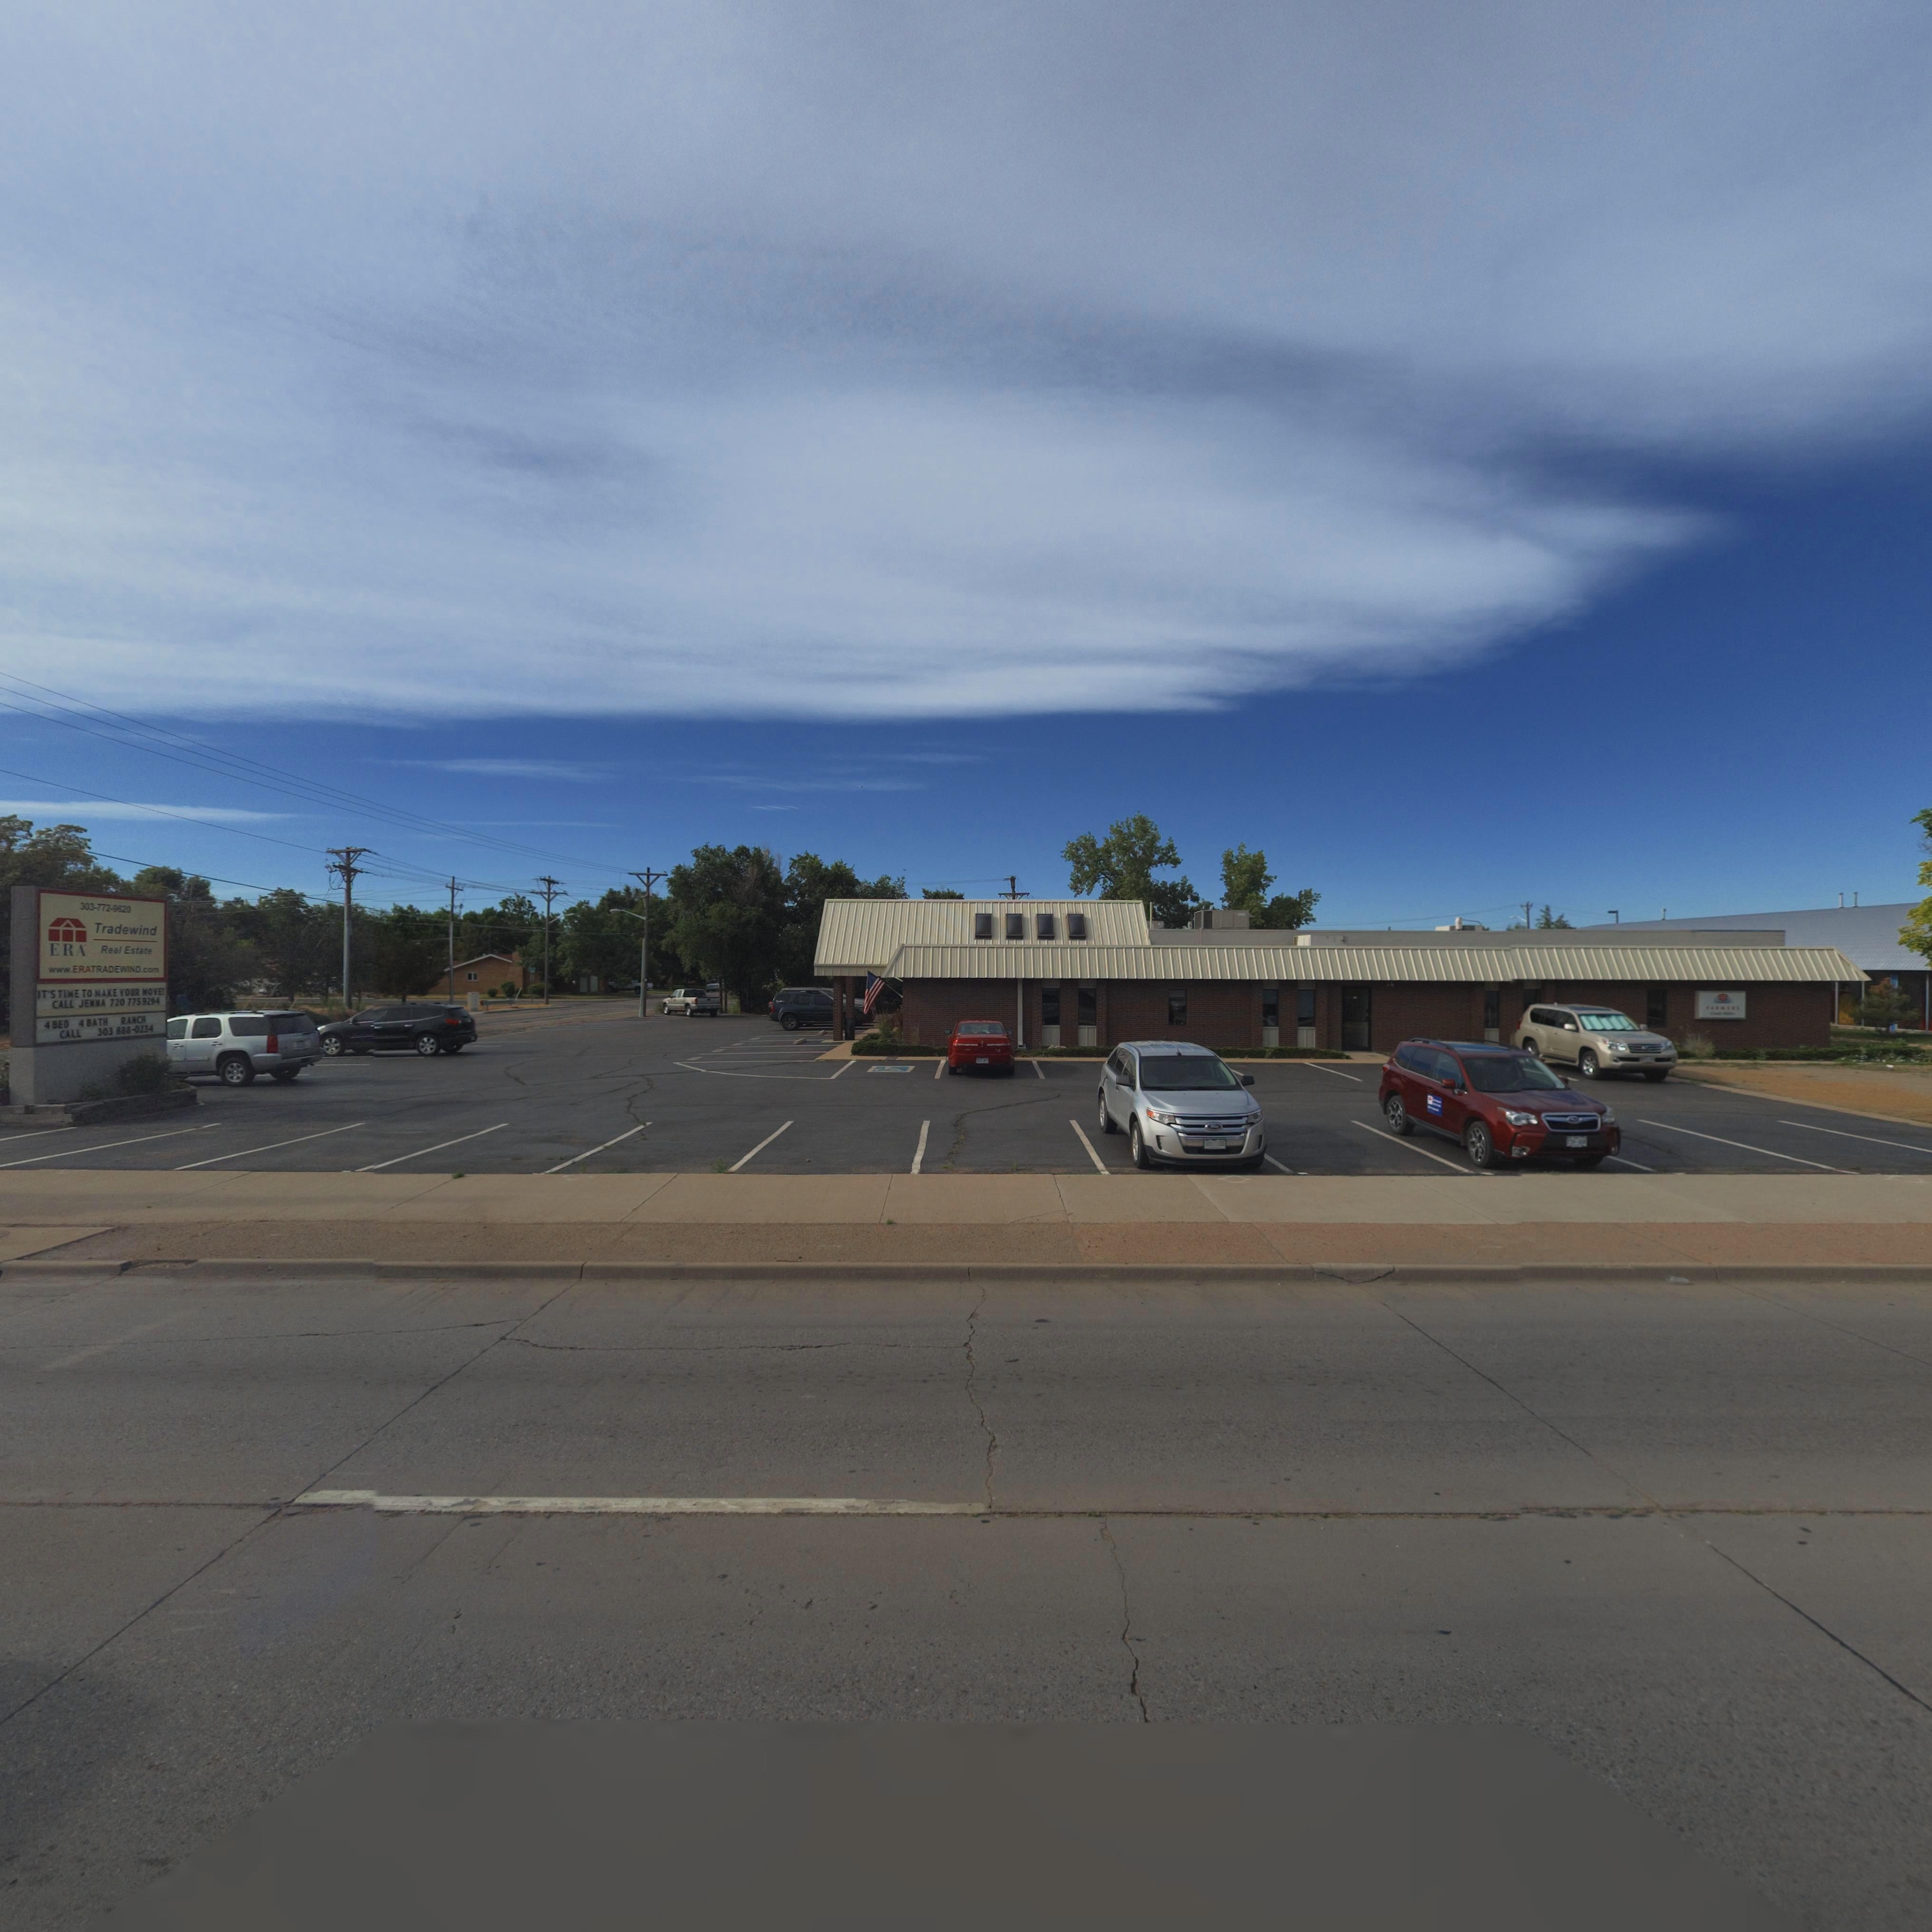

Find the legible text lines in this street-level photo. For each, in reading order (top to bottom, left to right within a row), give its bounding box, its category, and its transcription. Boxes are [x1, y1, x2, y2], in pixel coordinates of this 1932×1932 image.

[94, 922, 157, 936] BusinessName: Tradewind
[48, 942, 86, 956] BusinessName: ERA
[1706, 1005, 1739, 1010] BusinessName: ***MERS